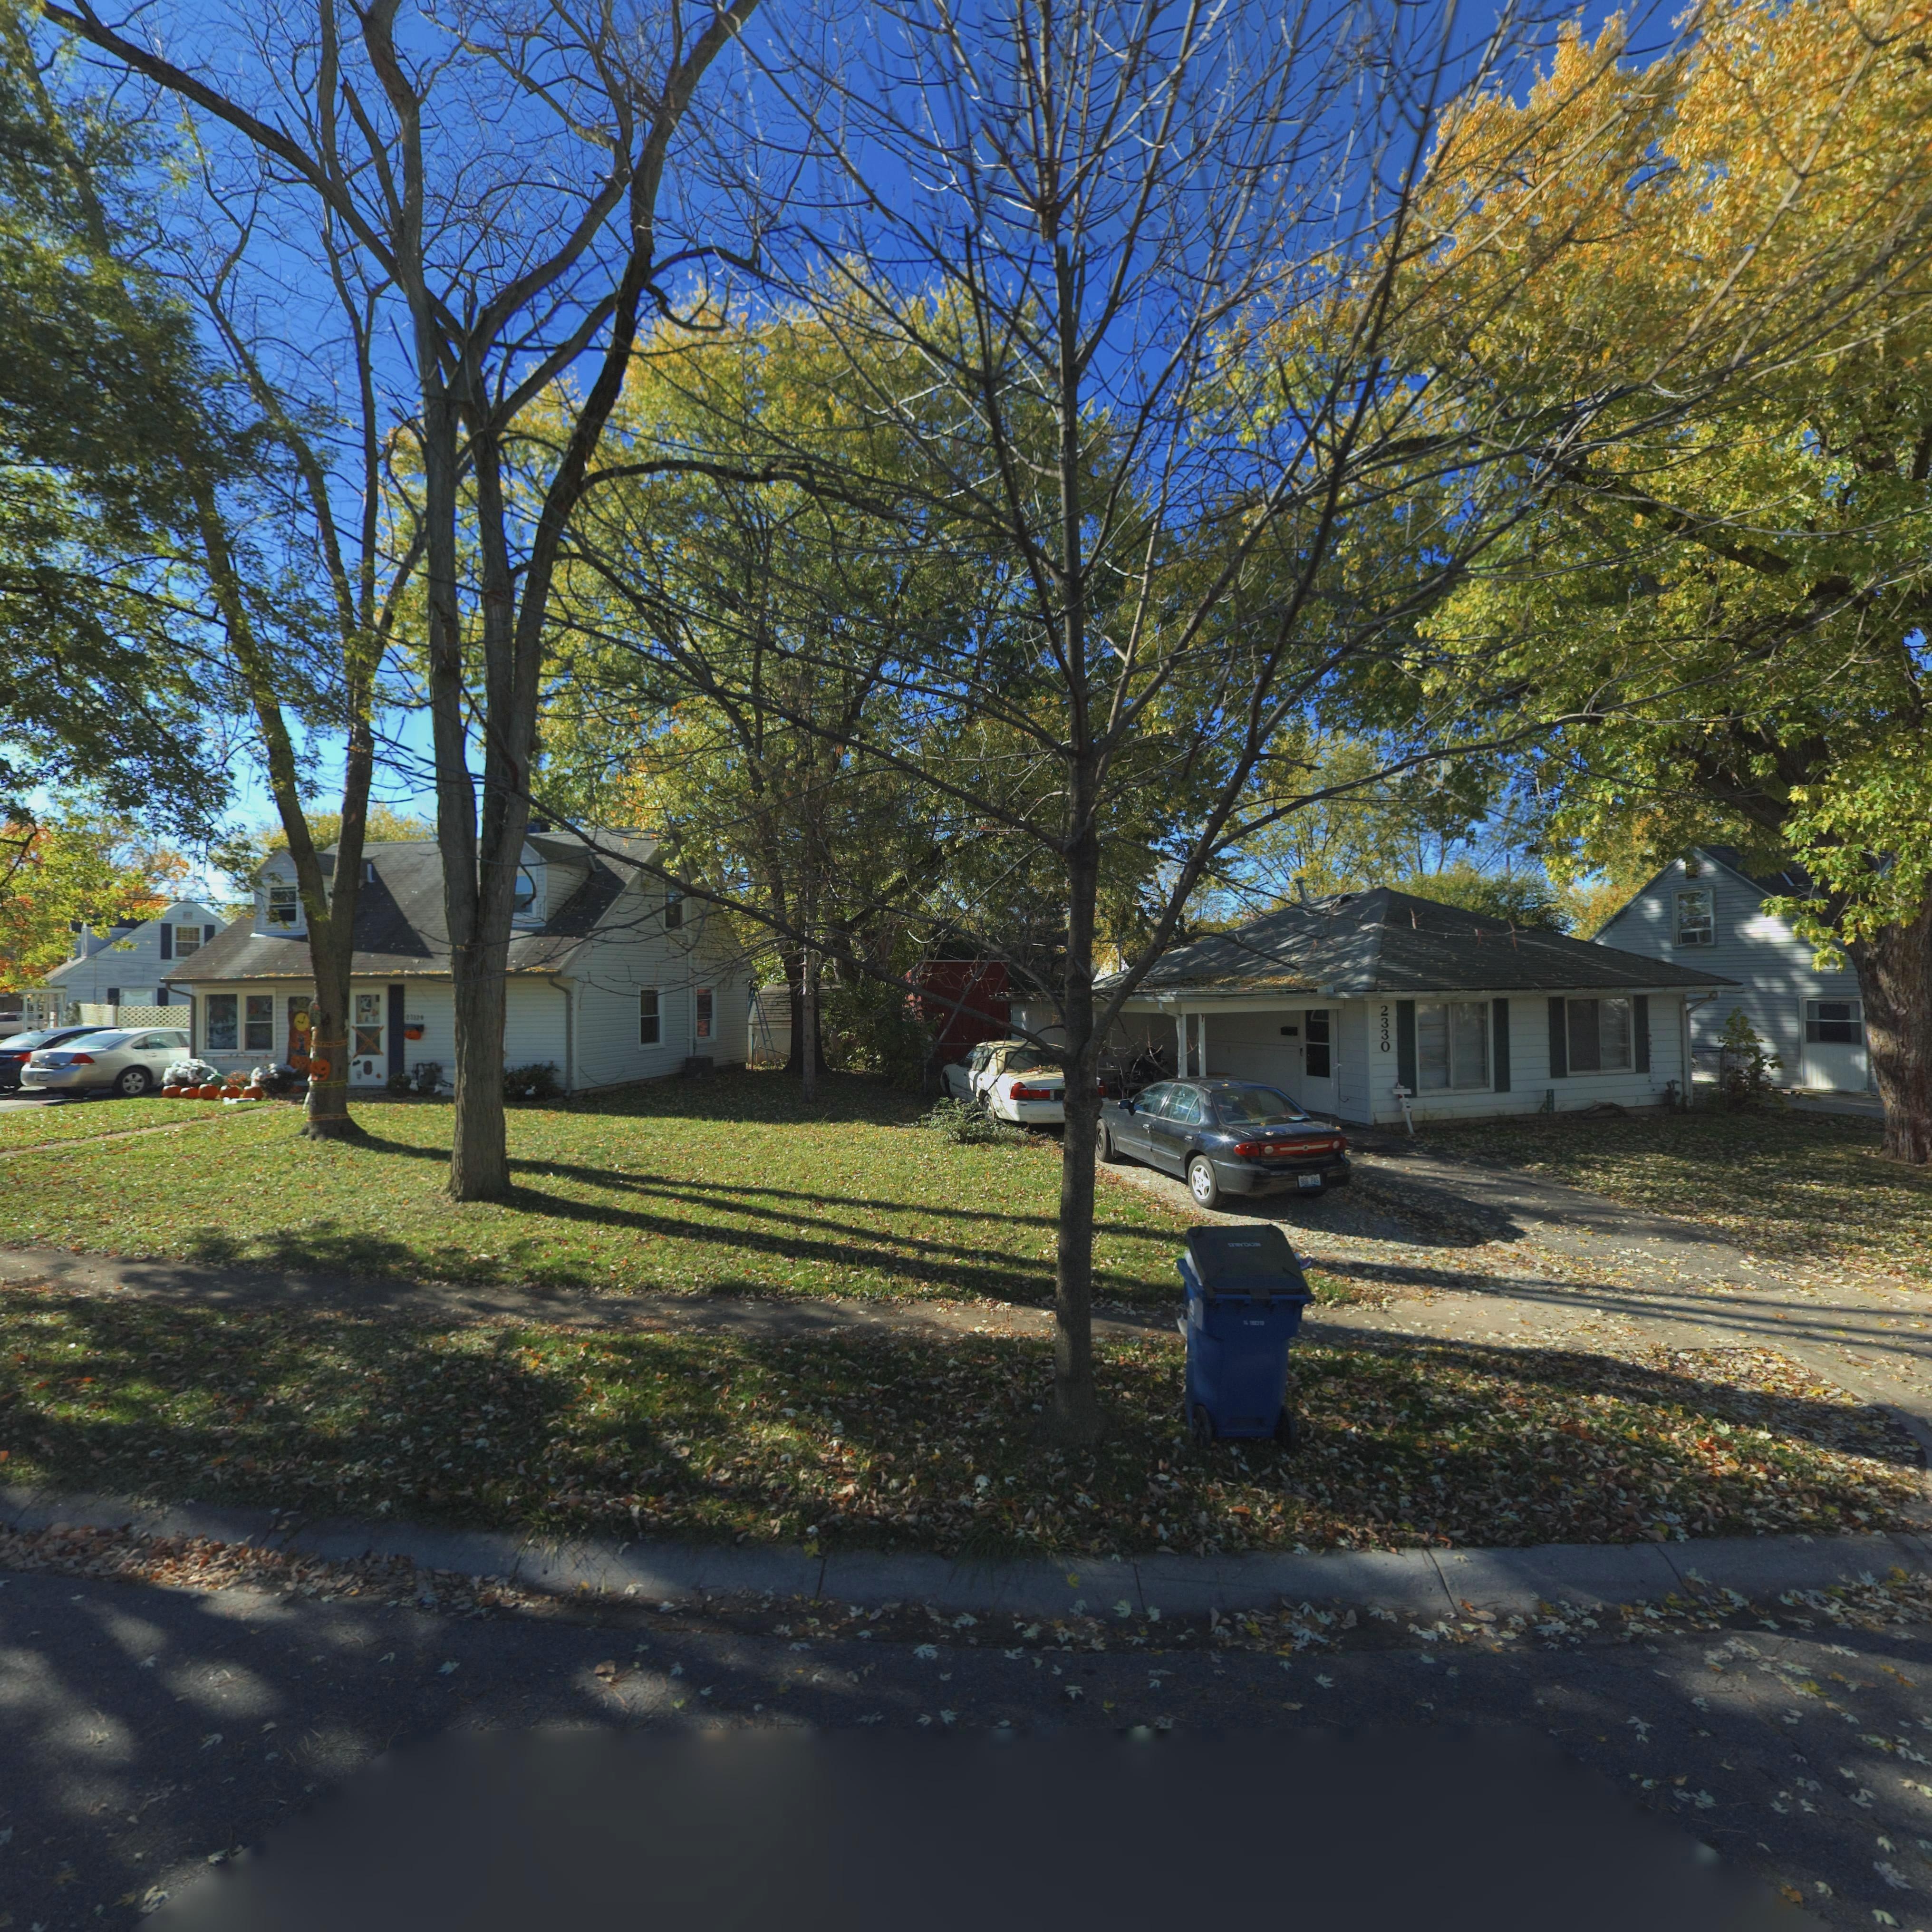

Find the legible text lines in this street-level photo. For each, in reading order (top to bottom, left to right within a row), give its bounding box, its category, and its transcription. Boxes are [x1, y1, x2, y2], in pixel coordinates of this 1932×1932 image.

[1380, 1004, 1392, 1053] StreetNumber: 2330
[1547, 1089, 1554, 1115] StreetNumber: 2***